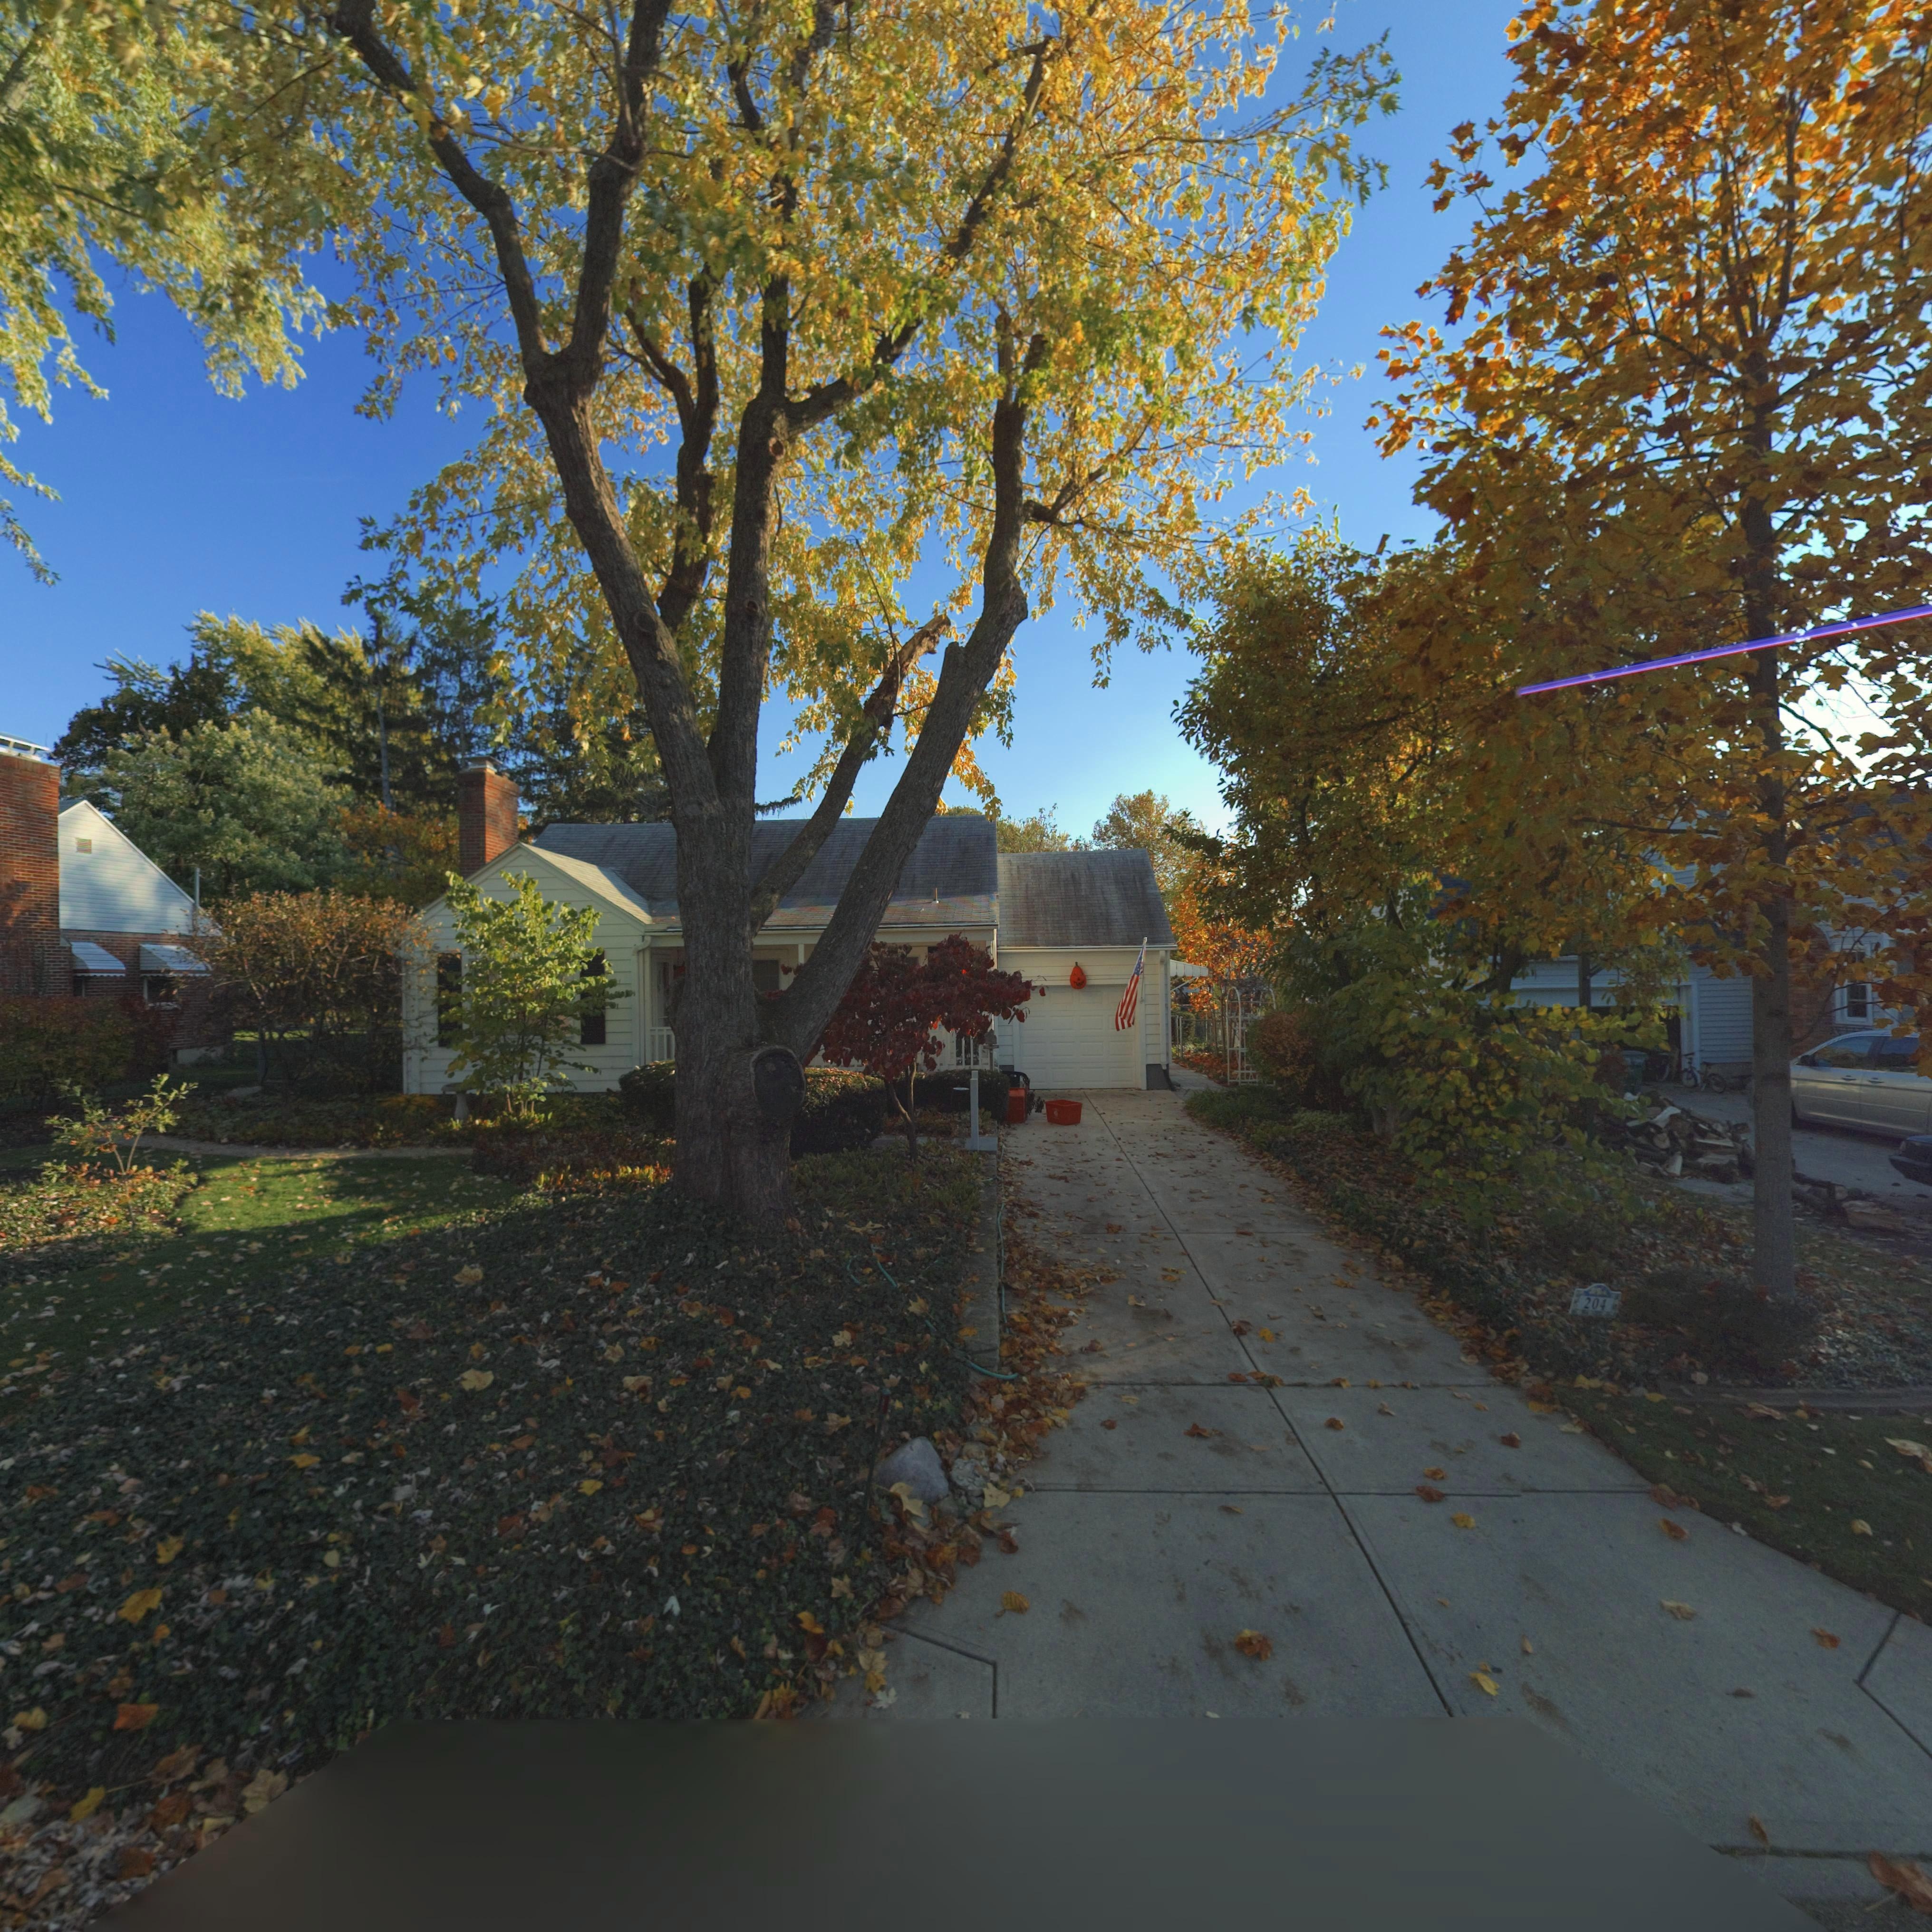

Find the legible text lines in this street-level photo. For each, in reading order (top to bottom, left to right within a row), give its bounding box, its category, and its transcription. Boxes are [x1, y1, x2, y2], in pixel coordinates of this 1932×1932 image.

[1583, 1296, 1607, 1311] StreetNumber: 204